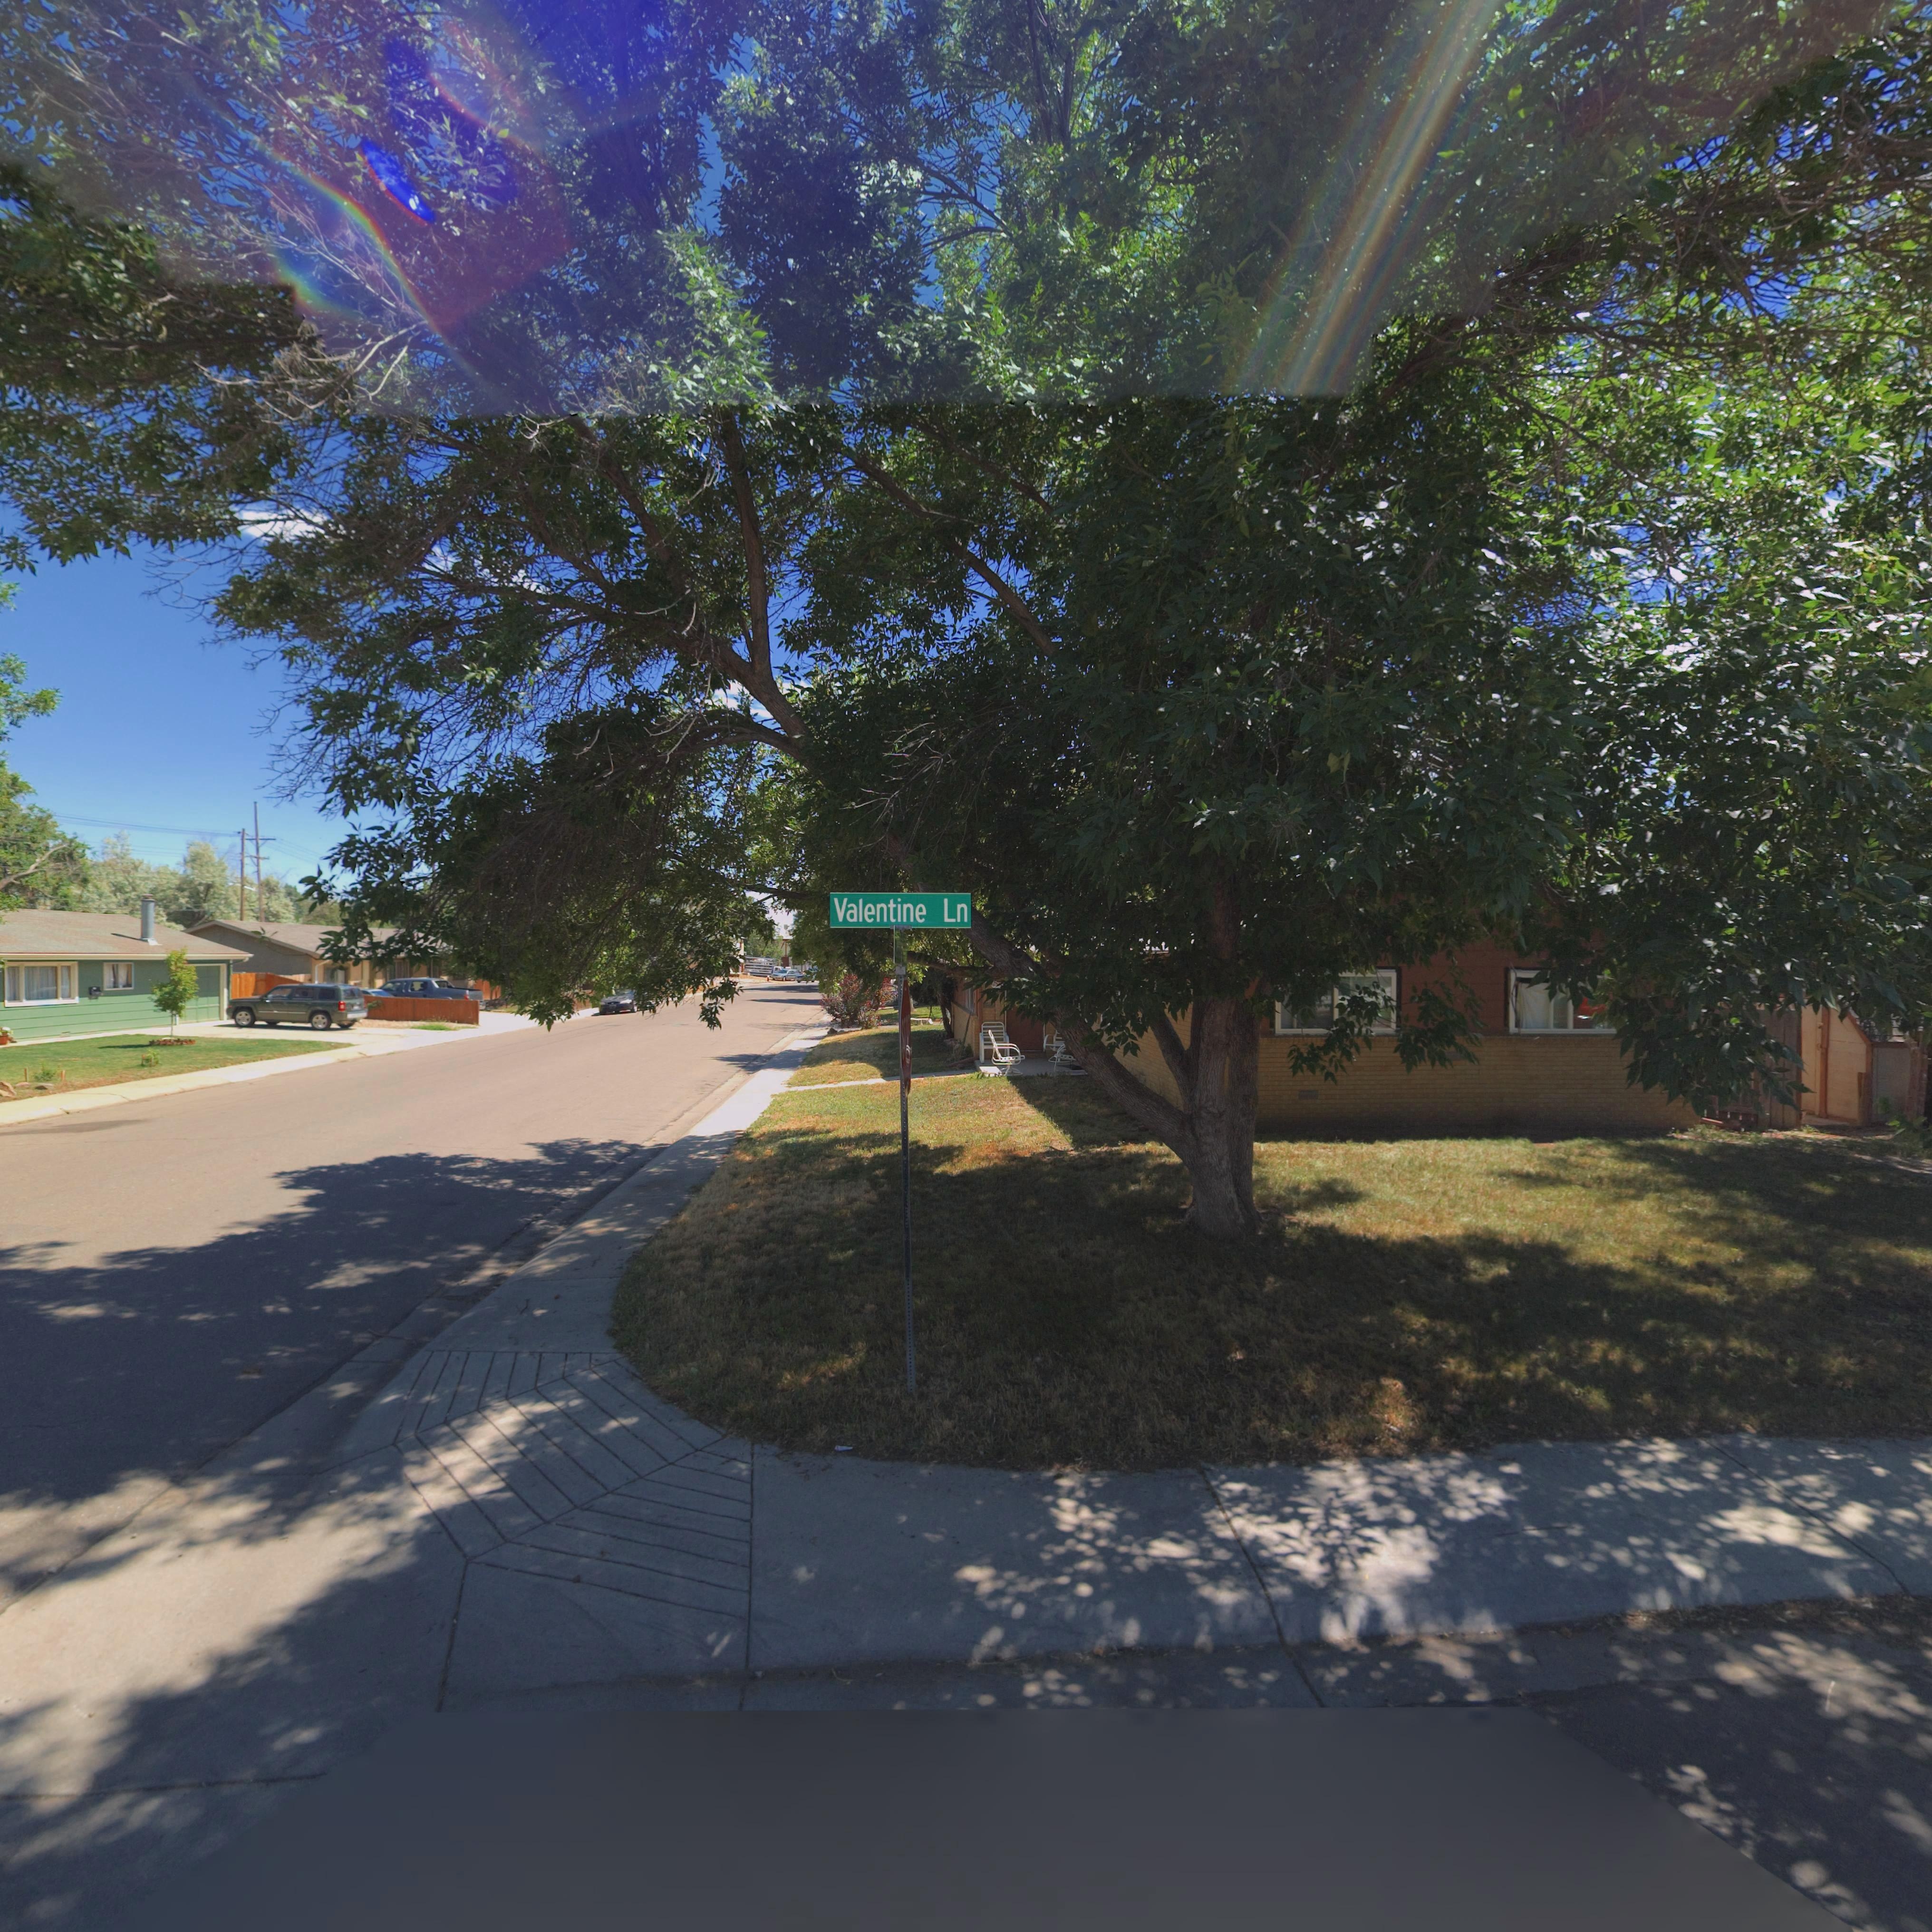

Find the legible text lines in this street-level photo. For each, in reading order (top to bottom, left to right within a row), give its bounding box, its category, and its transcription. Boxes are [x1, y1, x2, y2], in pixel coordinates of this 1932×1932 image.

[833, 897, 968, 923] StreetName: Valentine Ln